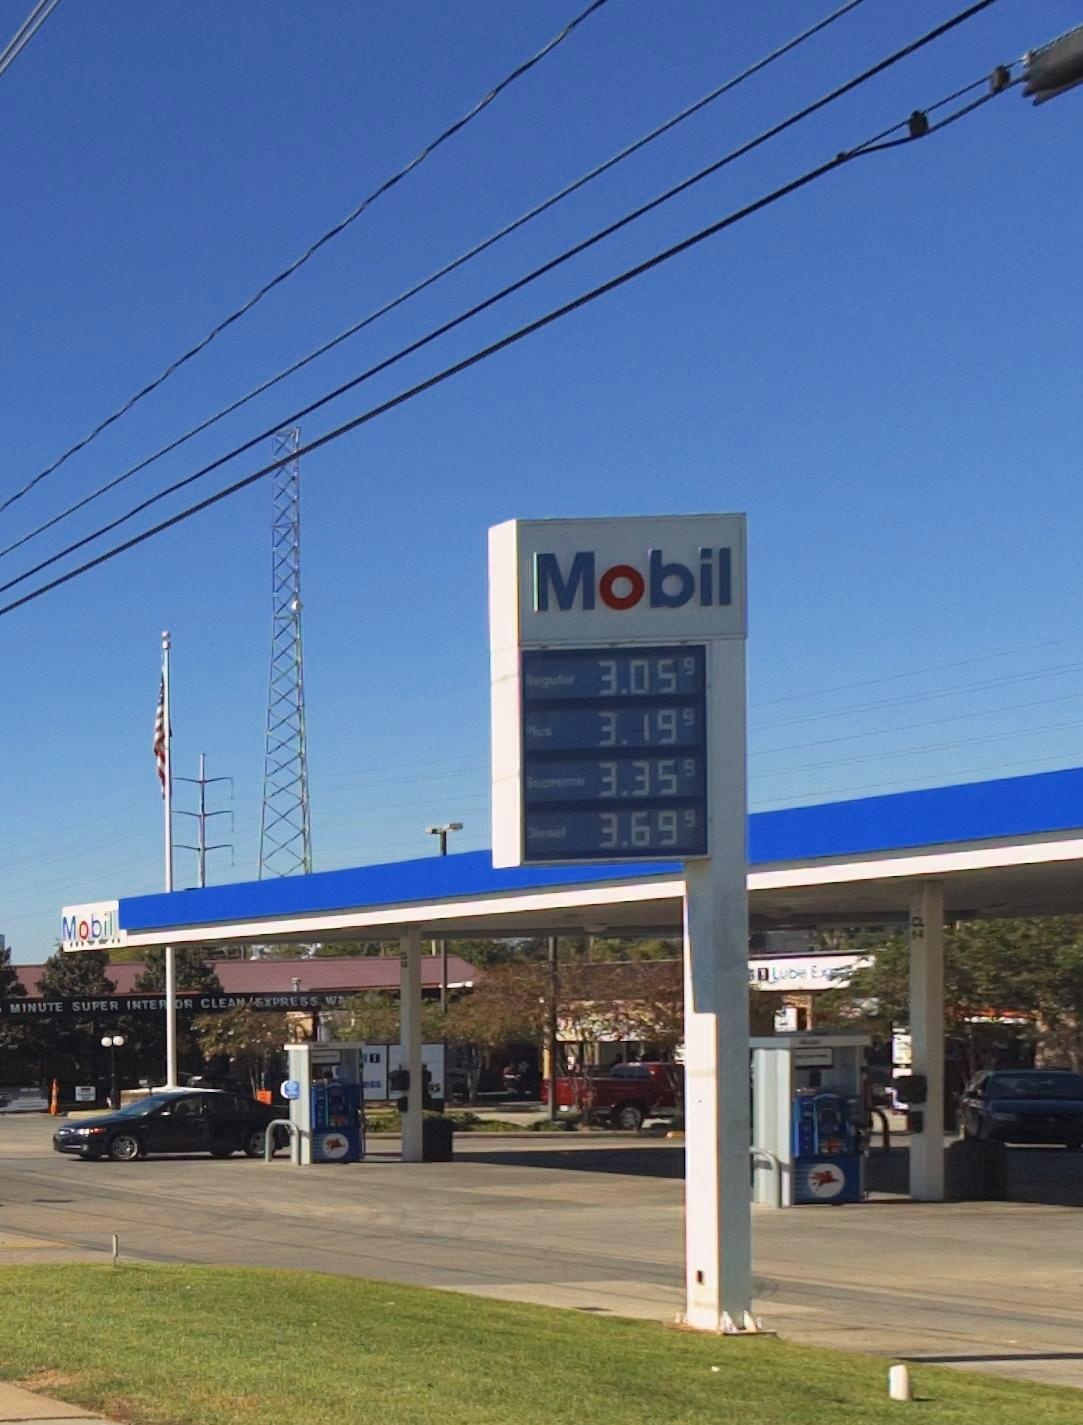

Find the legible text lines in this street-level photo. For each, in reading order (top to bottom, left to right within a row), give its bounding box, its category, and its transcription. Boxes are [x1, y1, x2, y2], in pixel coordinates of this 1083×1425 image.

[535, 545, 733, 613] BusinessName: Mobil
[524, 671, 581, 690] None: *egular
[596, 655, 696, 697] None: 3.05 9
[525, 724, 553, 739] None: *lus
[596, 707, 695, 747] None: 3.19 9
[525, 774, 586, 791] None: *upreme
[595, 759, 697, 798] None: 3.35 9
[525, 824, 568, 841] None: *iesel
[597, 808, 697, 850] None: 3.69 9
[61, 910, 114, 942] BusinessName: Mobil
[910, 915, 925, 928] None: CL
[771, 964, 828, 982] None: Lube Ex
[8, 994, 339, 1015] None: MINUTE SUPER INTER*OR CLEAN EXPRESS W
[368, 1079, 382, 1090] None: SS
[433, 1081, 443, 1093] None: S